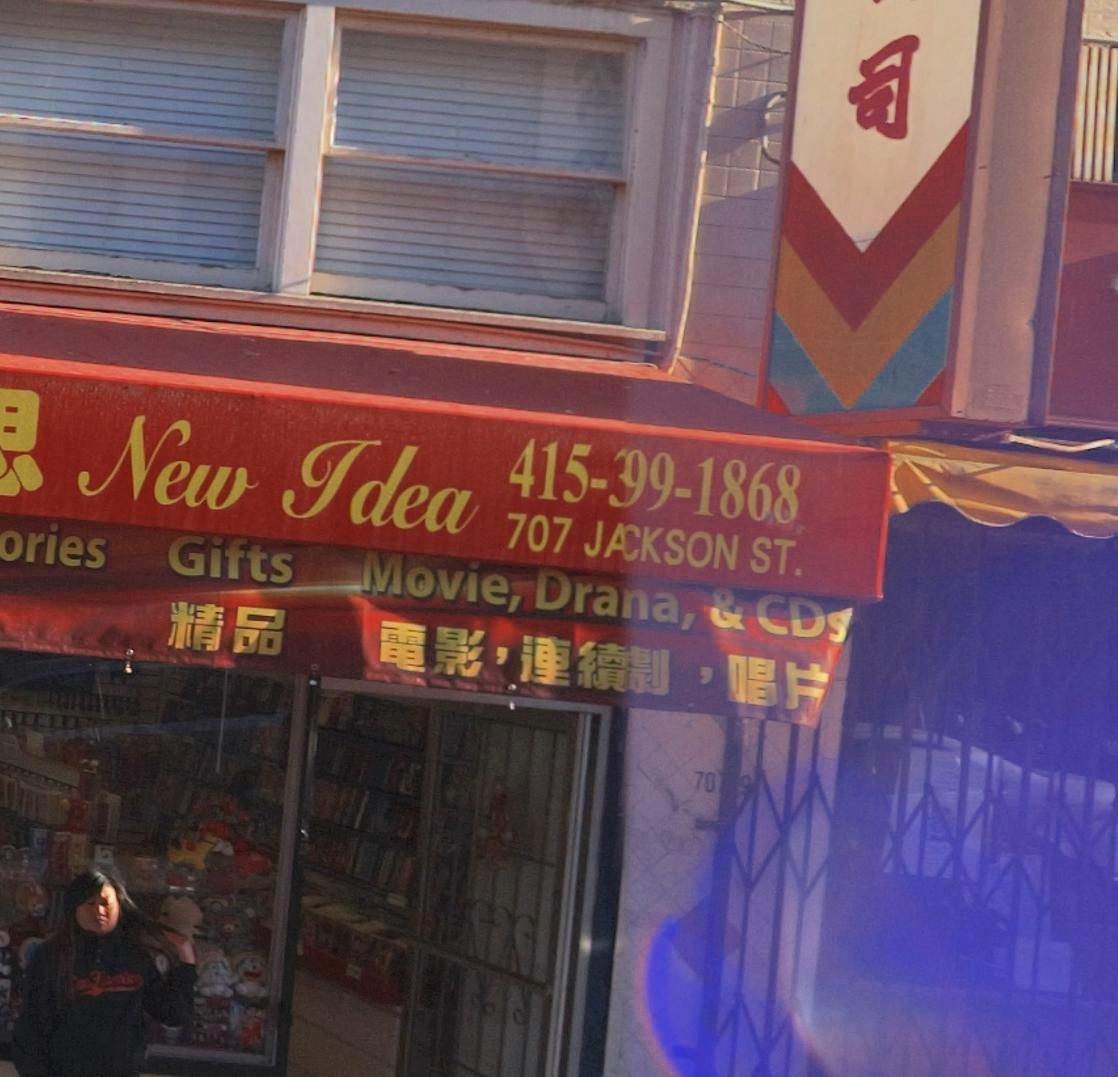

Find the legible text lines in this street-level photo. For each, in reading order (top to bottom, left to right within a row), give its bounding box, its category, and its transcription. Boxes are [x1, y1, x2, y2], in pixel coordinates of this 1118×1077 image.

[74, 409, 494, 538] BusinessName: NEWIDEA
[505, 434, 803, 526] None: 415-*99-1868
[23, 517, 107, 570] None: ries
[165, 533, 296, 586] None: Gifts
[506, 511, 576, 555] StreetNumber: 707
[578, 514, 804, 579] StreetName: JA*KSON ST.
[356, 547, 852, 648] None: Movie, Dra*a, & CDs
[692, 768, 718, 798] None: 70